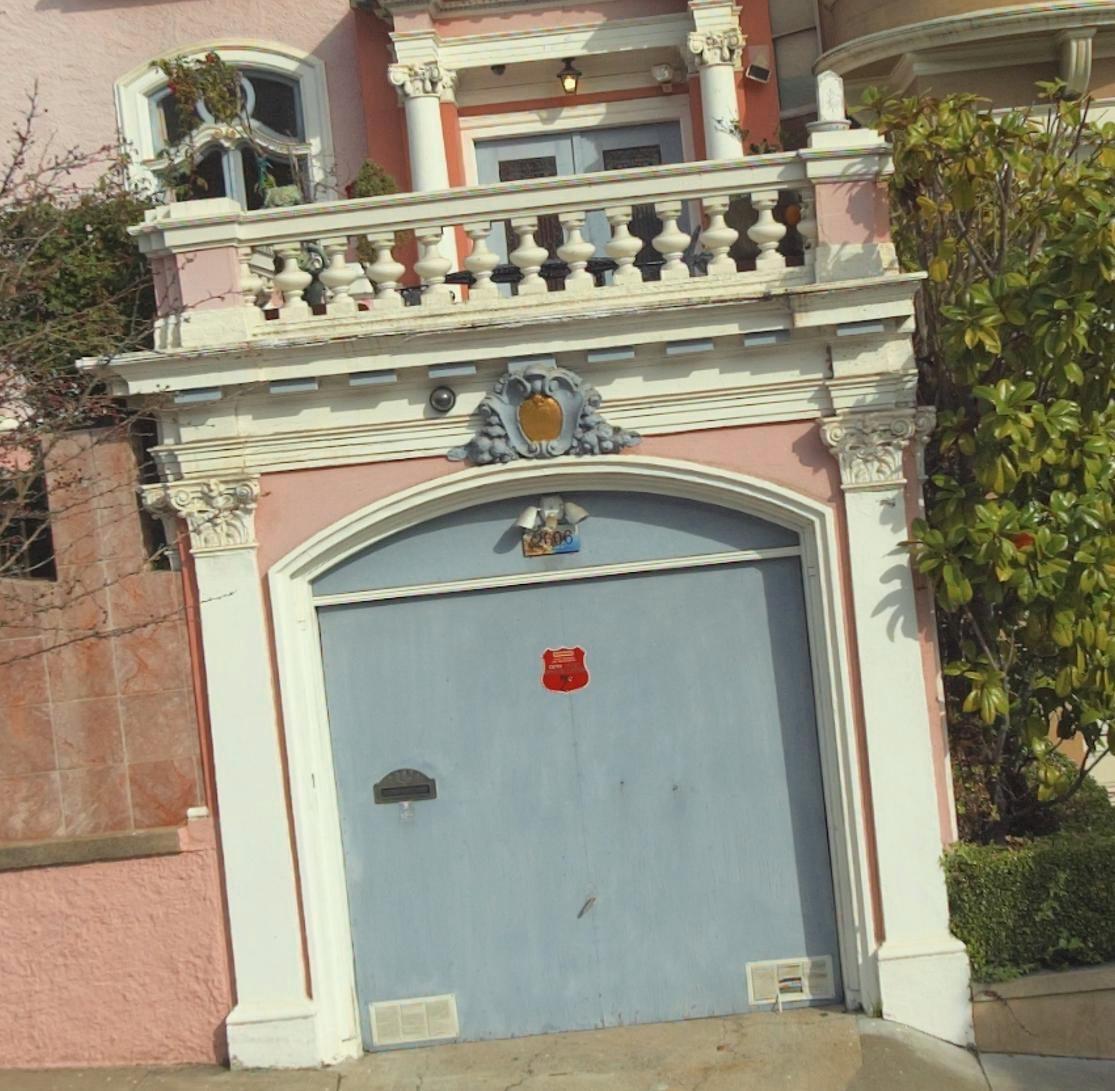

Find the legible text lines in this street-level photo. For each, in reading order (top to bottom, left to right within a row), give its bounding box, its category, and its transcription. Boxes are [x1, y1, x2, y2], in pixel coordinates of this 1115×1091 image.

[529, 527, 576, 551] StreetNumber: 2606